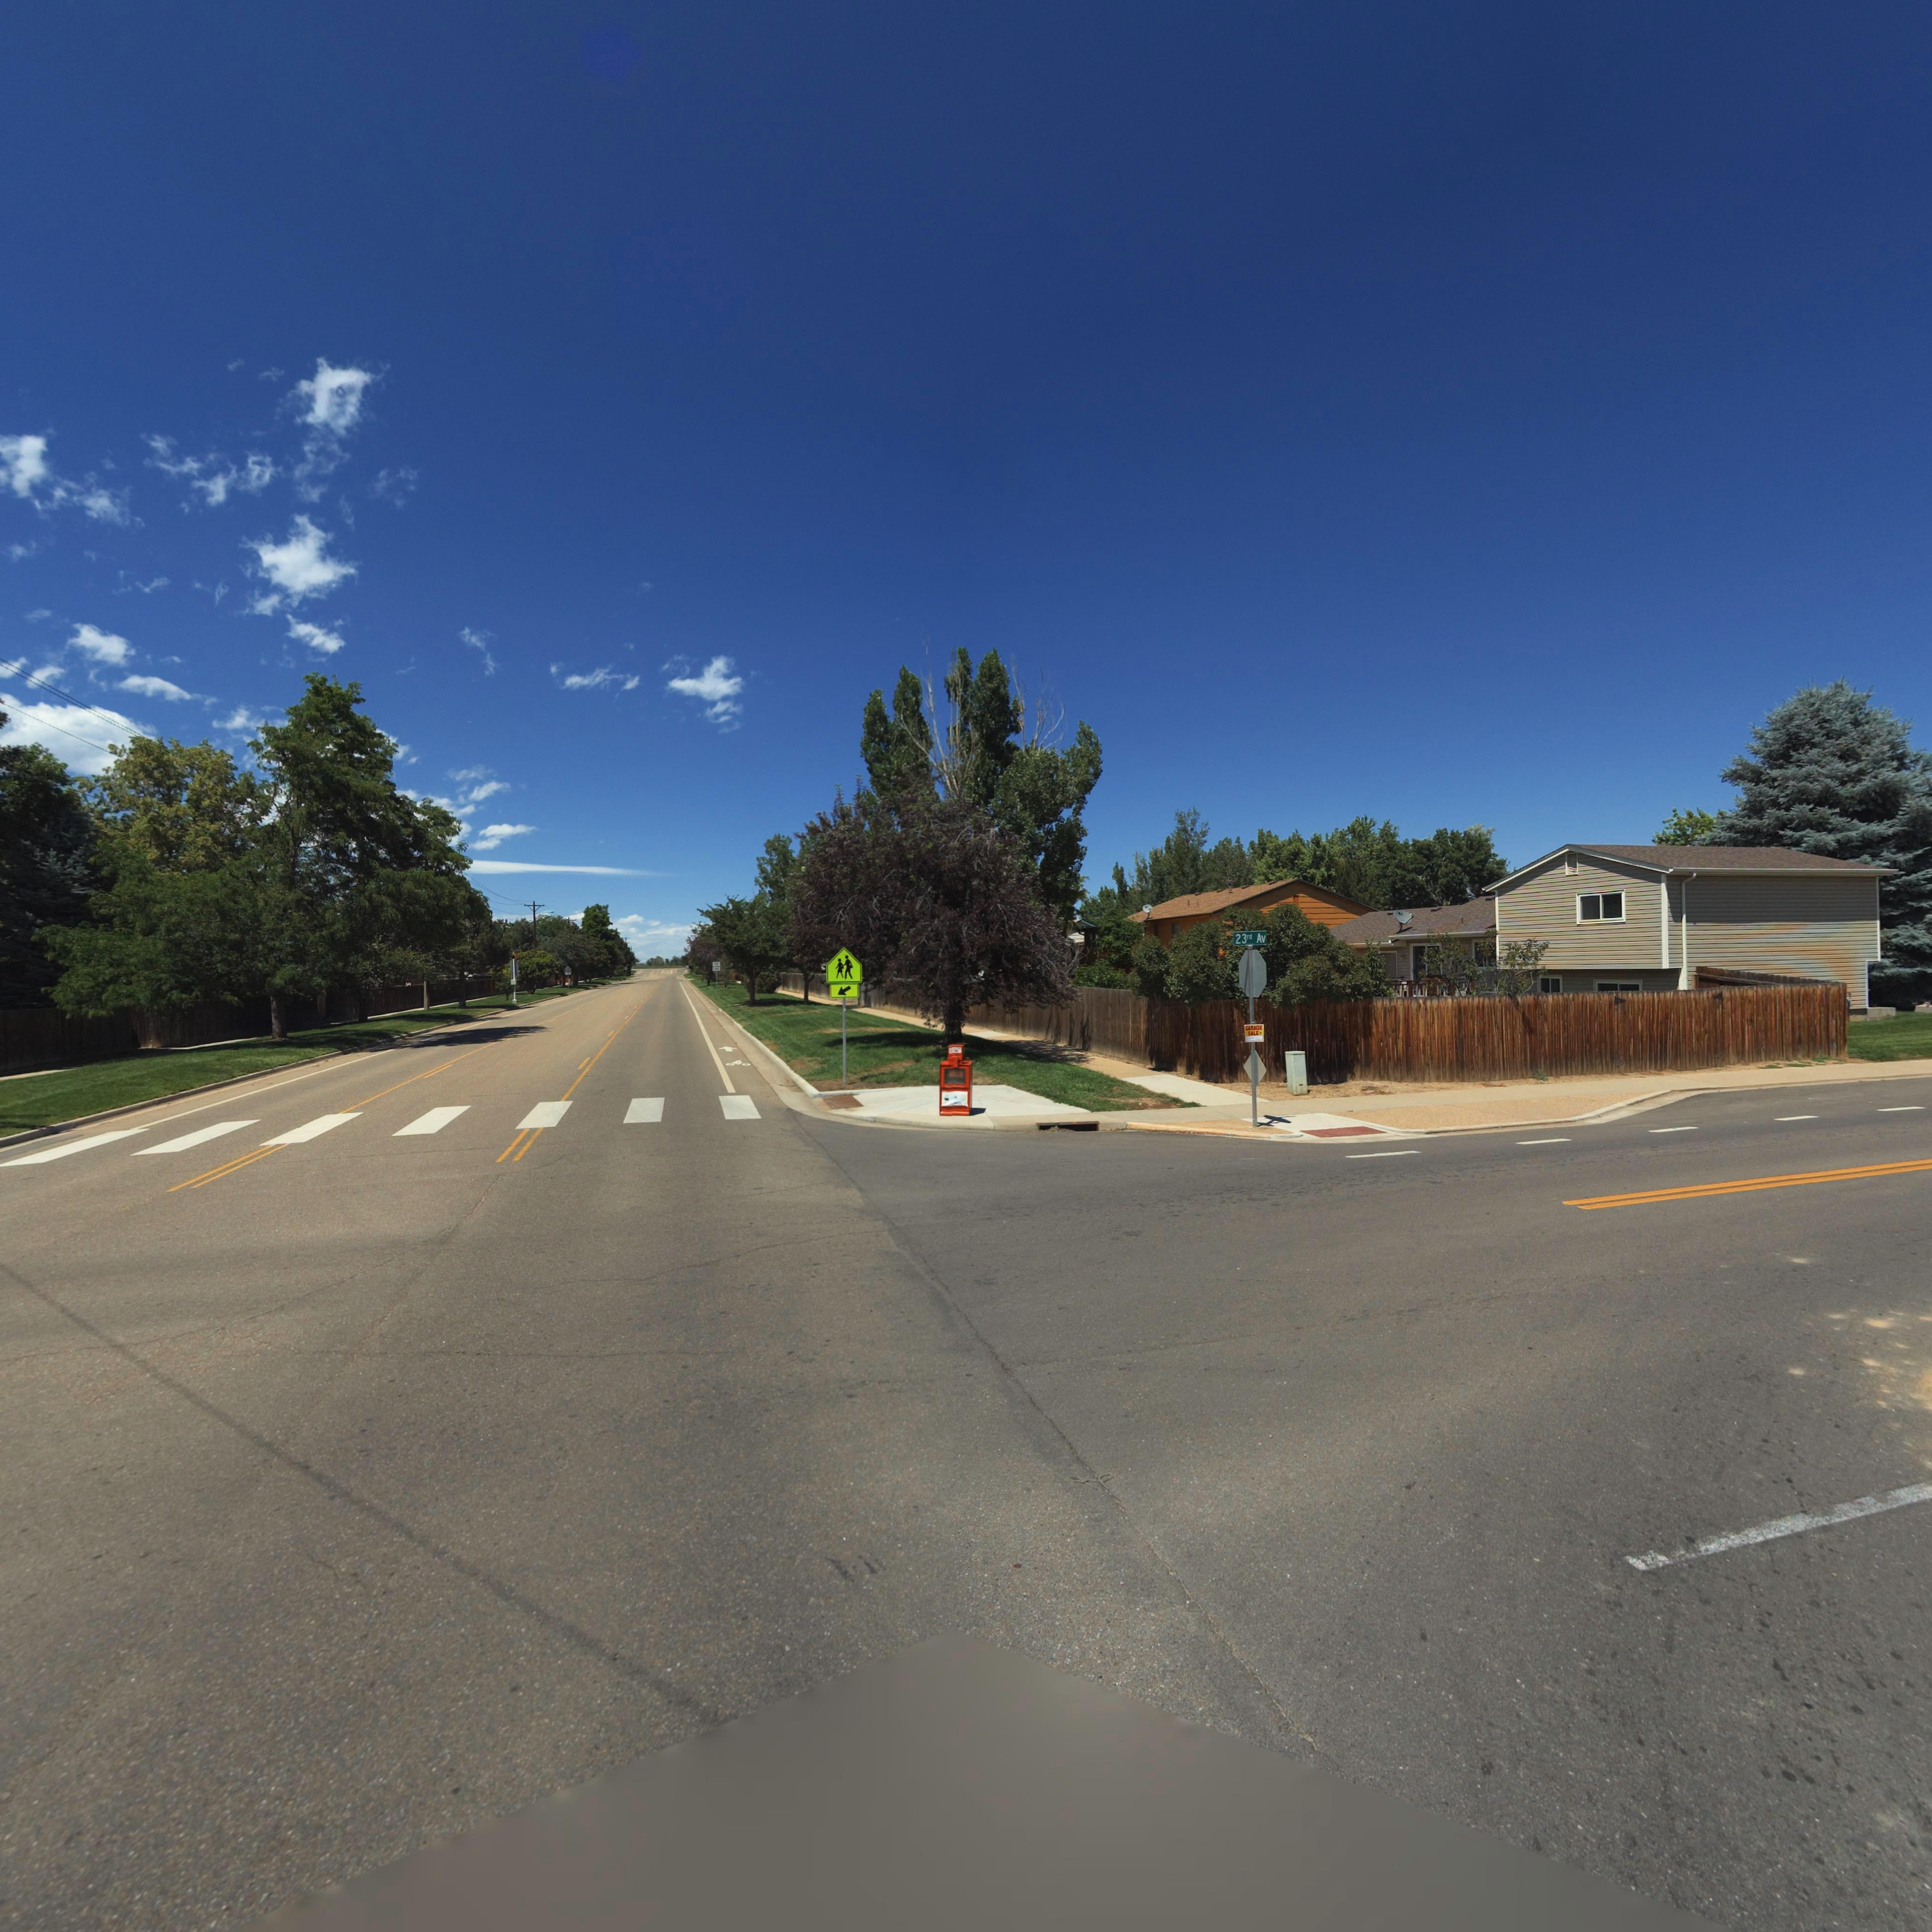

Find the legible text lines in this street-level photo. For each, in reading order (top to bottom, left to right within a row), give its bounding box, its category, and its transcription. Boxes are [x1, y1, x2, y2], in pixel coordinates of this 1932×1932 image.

[1235, 933, 1266, 944] StreetName: 23rd Av